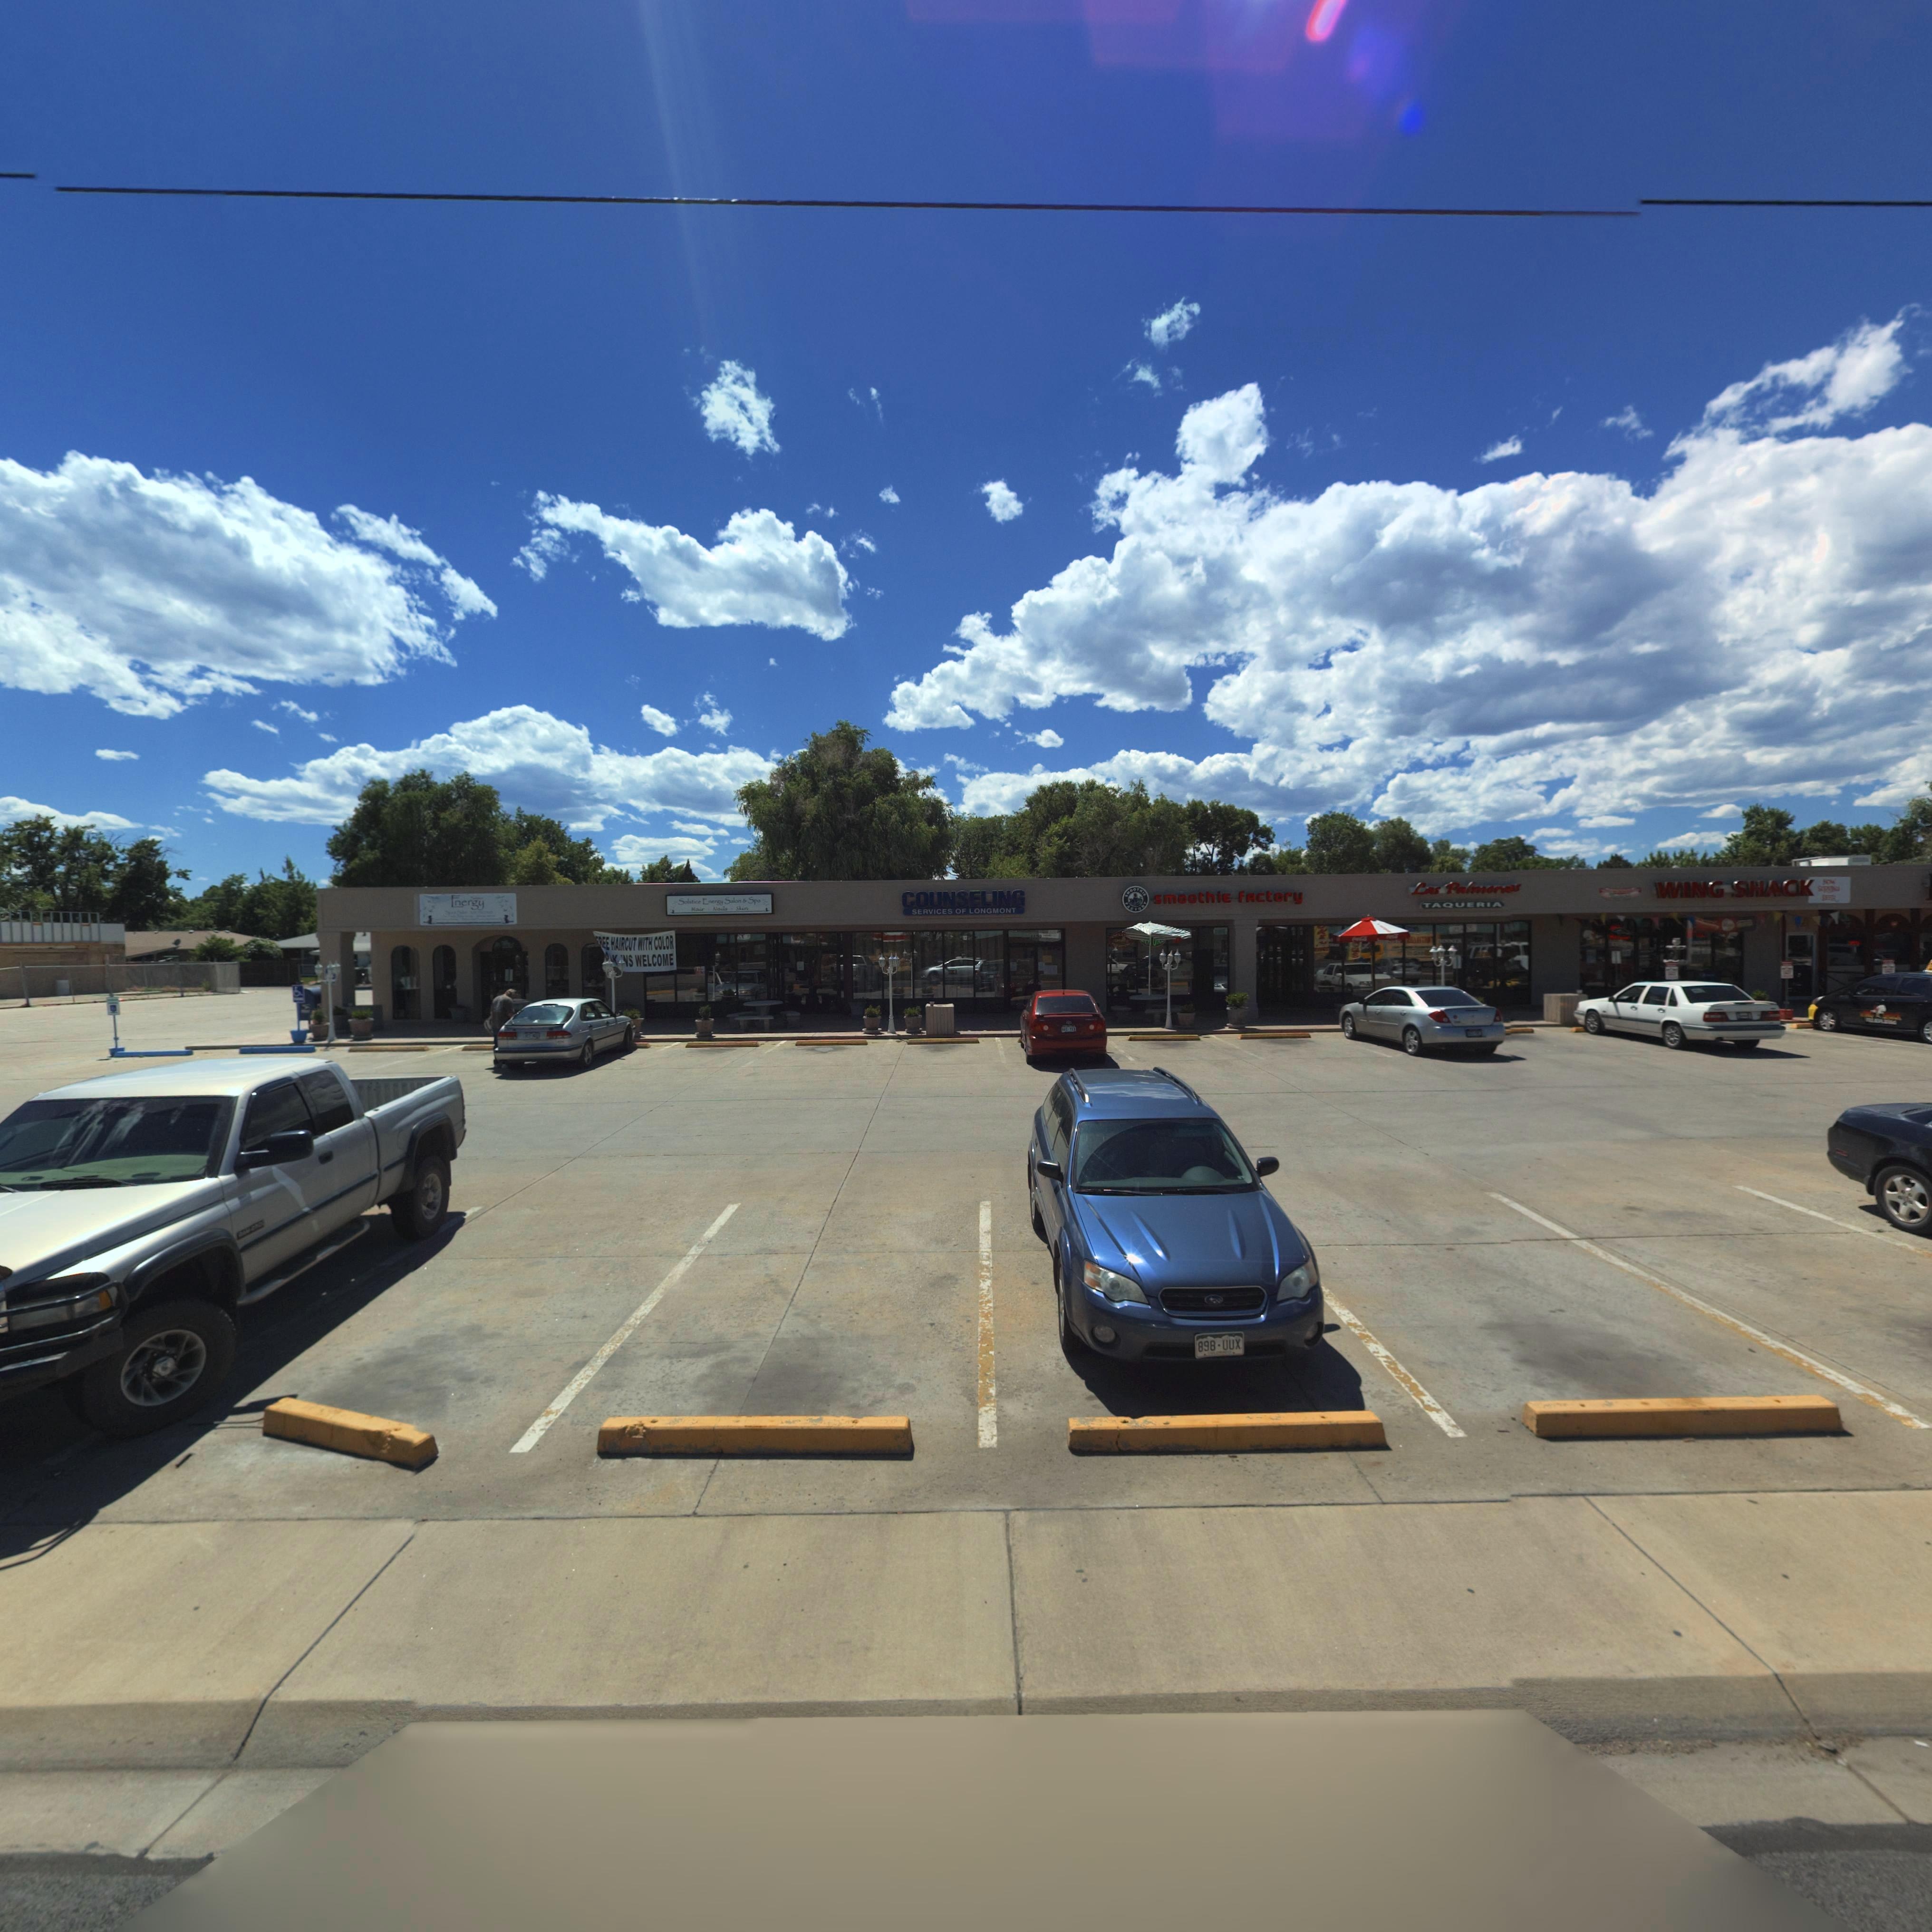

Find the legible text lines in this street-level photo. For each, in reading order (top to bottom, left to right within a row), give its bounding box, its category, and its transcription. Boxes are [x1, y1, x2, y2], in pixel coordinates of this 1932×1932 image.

[677, 896, 761, 906] BusinessName: Solstice Energy Salon & Spa
[901, 889, 1025, 908] BusinessName: COUNSELING
[911, 907, 1016, 915] BusinessName: SERVICES OF LONGMONT
[1124, 900, 1146, 911] BusinessName: factory
[1124, 887, 1147, 898] BusinessName: smoothie
[1153, 889, 1303, 904] BusinessName: smoothie factory
[1410, 880, 1521, 896] BusinessName: LAS PALMORES
[1654, 878, 1816, 898] BusinessName: WING SHACK
[1030, 933, 1042, 939] StreetNumber: 1129